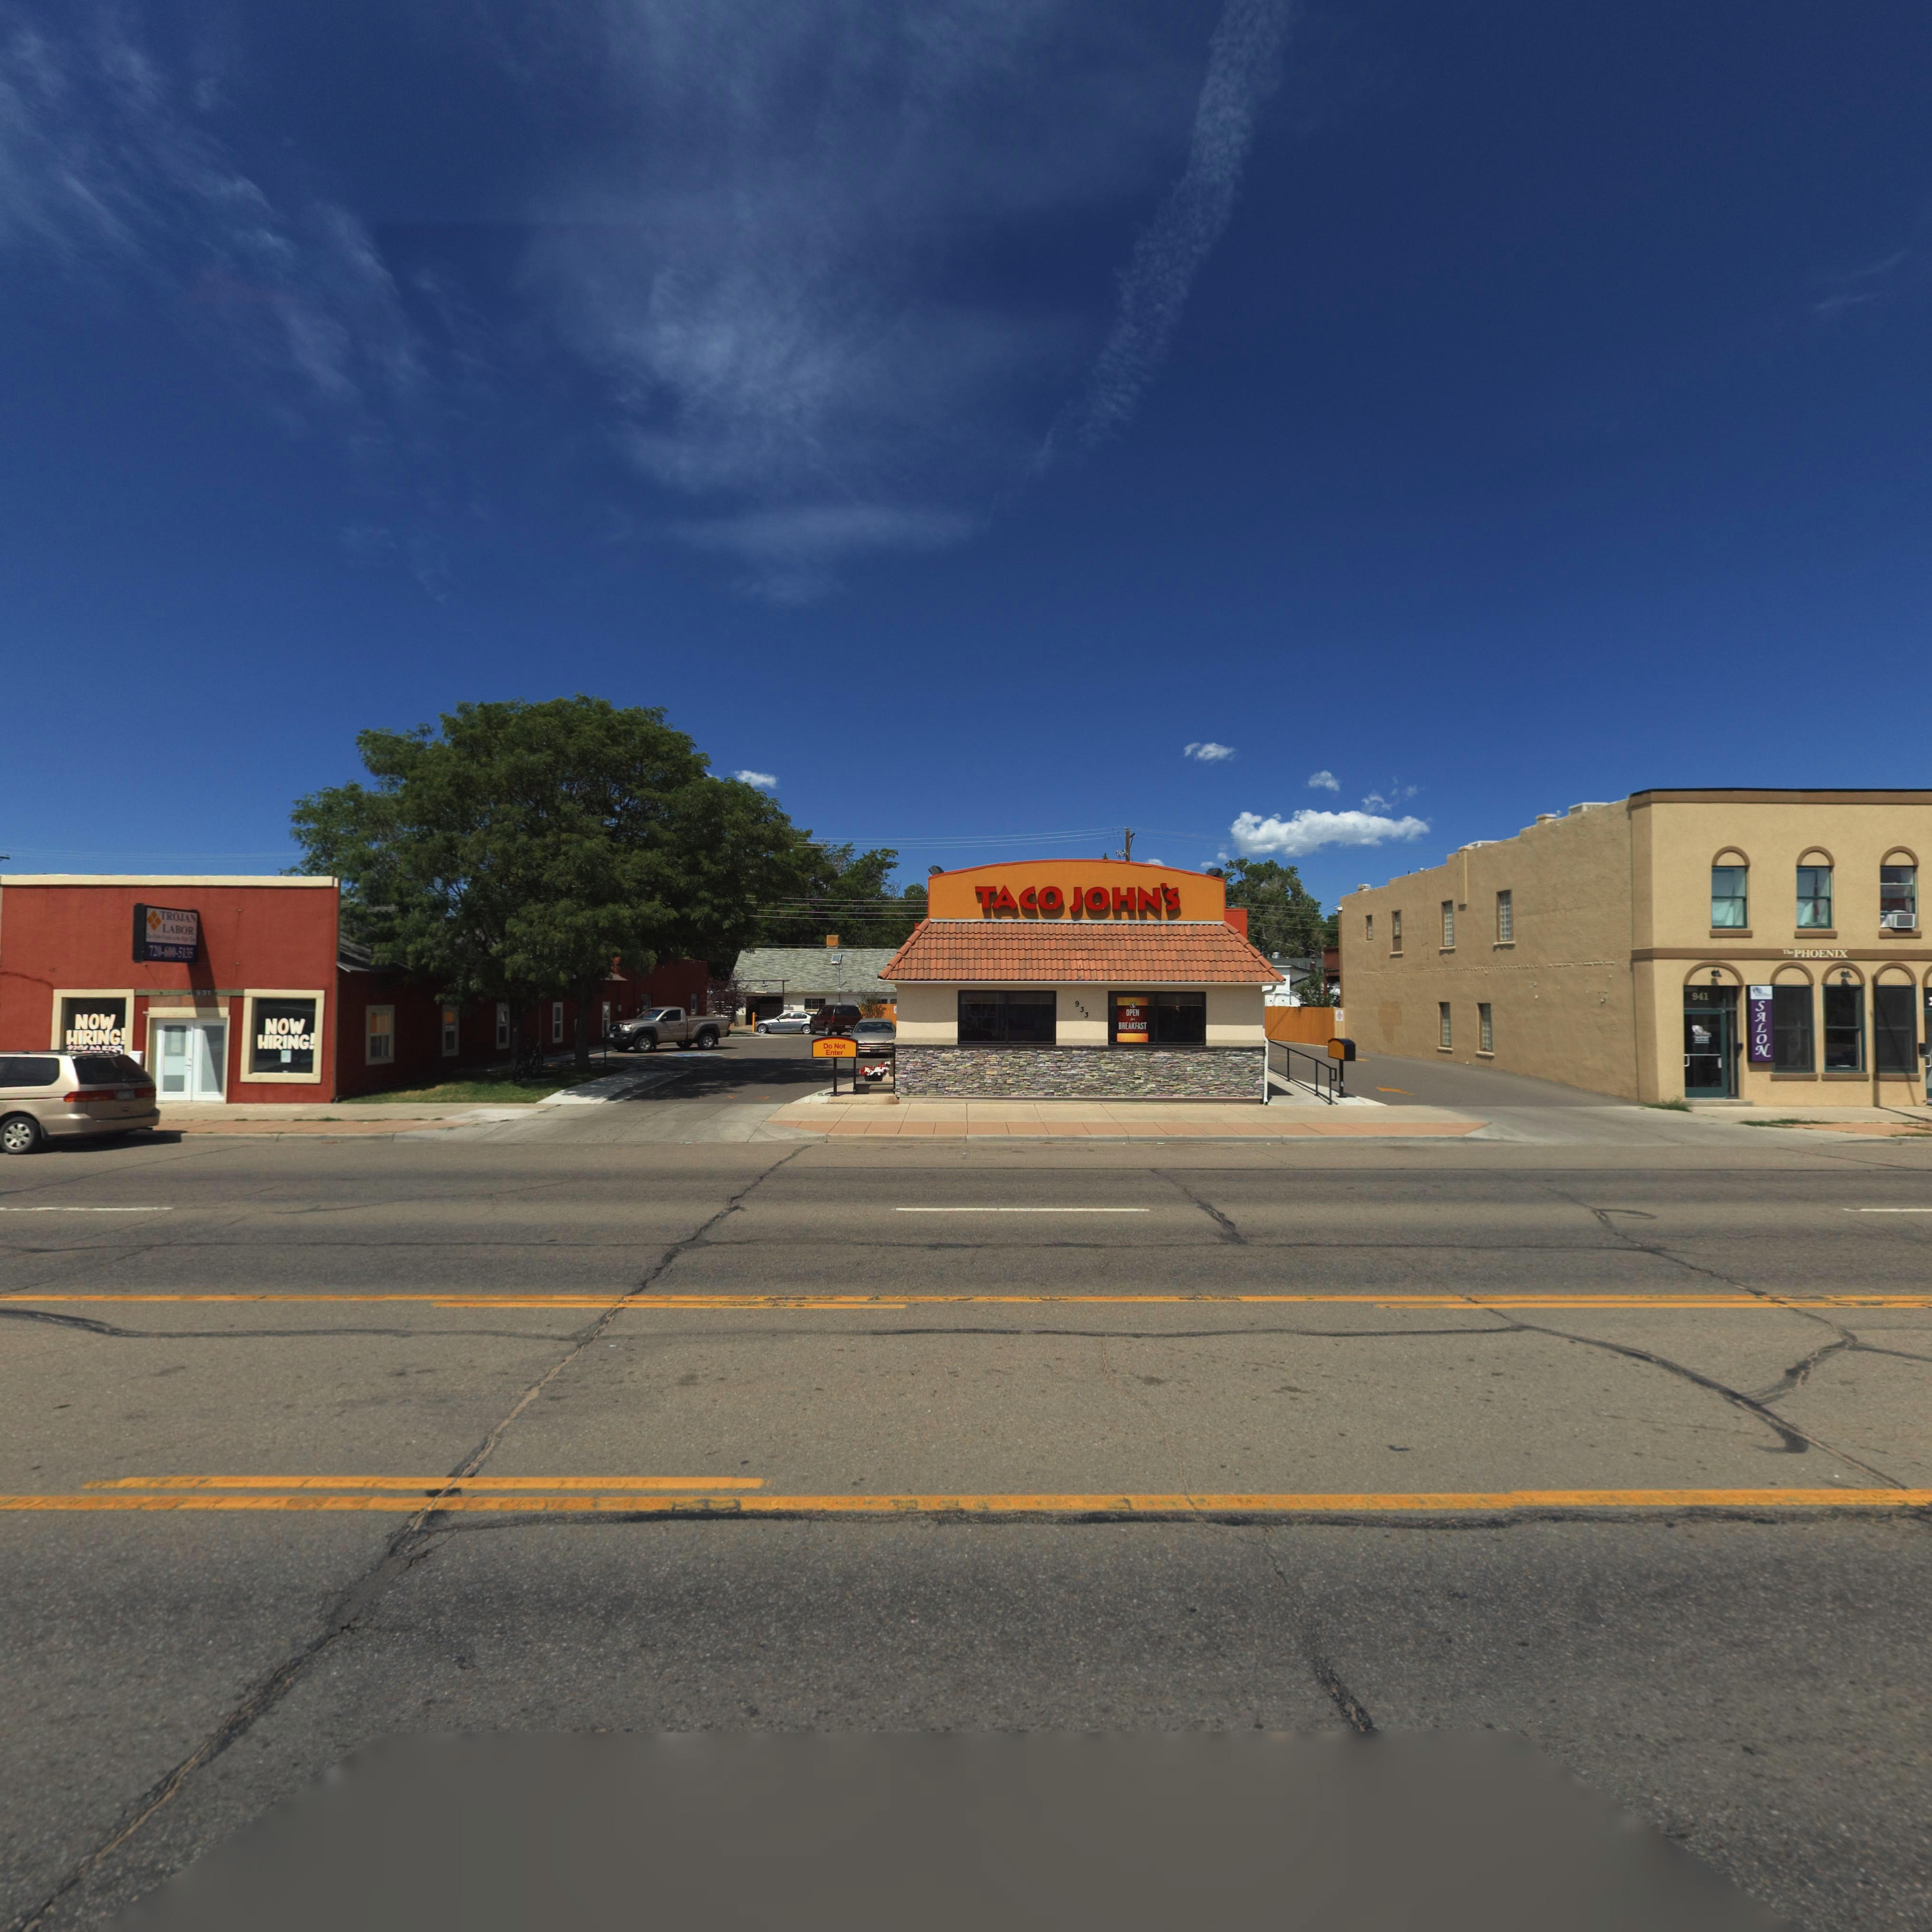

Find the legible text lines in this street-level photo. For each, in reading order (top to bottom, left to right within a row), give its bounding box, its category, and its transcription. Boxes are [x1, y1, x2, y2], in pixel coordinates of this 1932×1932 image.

[974, 882, 1181, 914] BusinessName: TACO JOHN'S
[160, 910, 196, 923] BusinessName: TROJAN
[162, 923, 193, 935] BusinessName: LABOR
[1782, 949, 1848, 957] BusinessName: The PHOENIX
[194, 988, 211, 996] StreetNumber: 931
[1691, 991, 1709, 1001] StreetNumber: 941
[1075, 1000, 1089, 1018] StreetNumber: 933